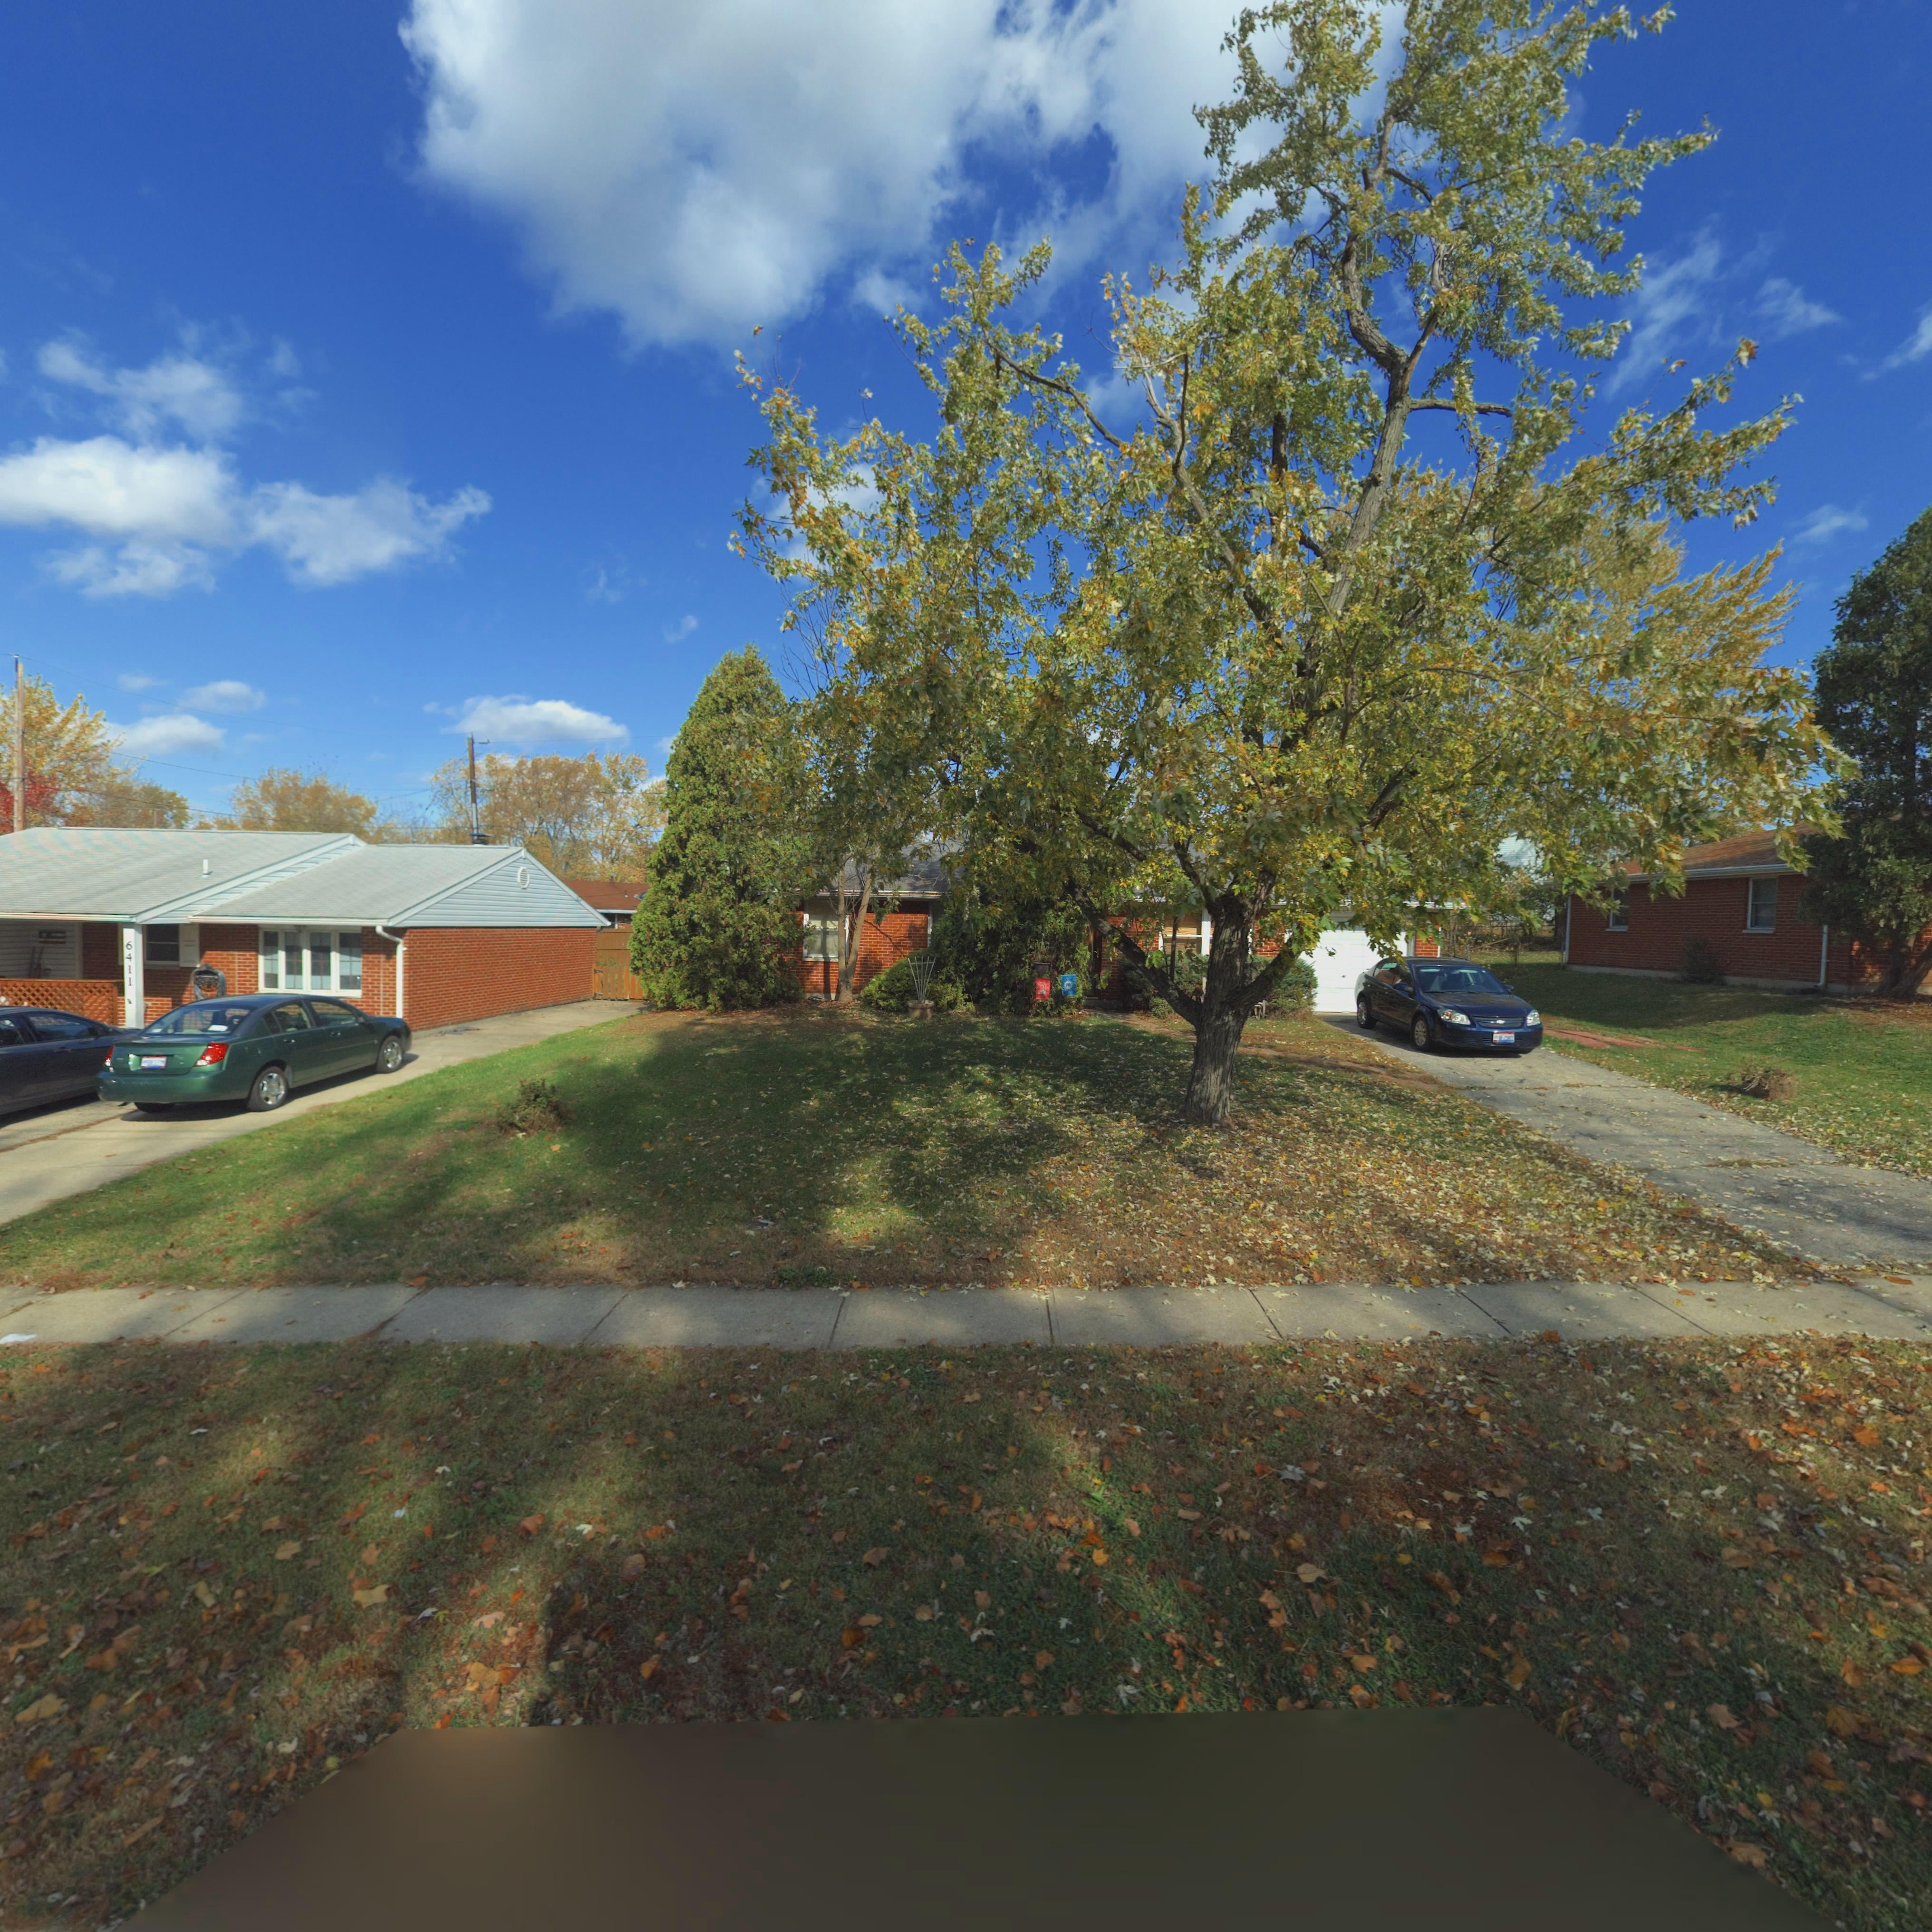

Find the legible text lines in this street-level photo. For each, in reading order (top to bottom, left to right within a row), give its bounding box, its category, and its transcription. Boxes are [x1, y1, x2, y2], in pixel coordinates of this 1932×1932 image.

[125, 940, 133, 986] StreetNumber: 6411